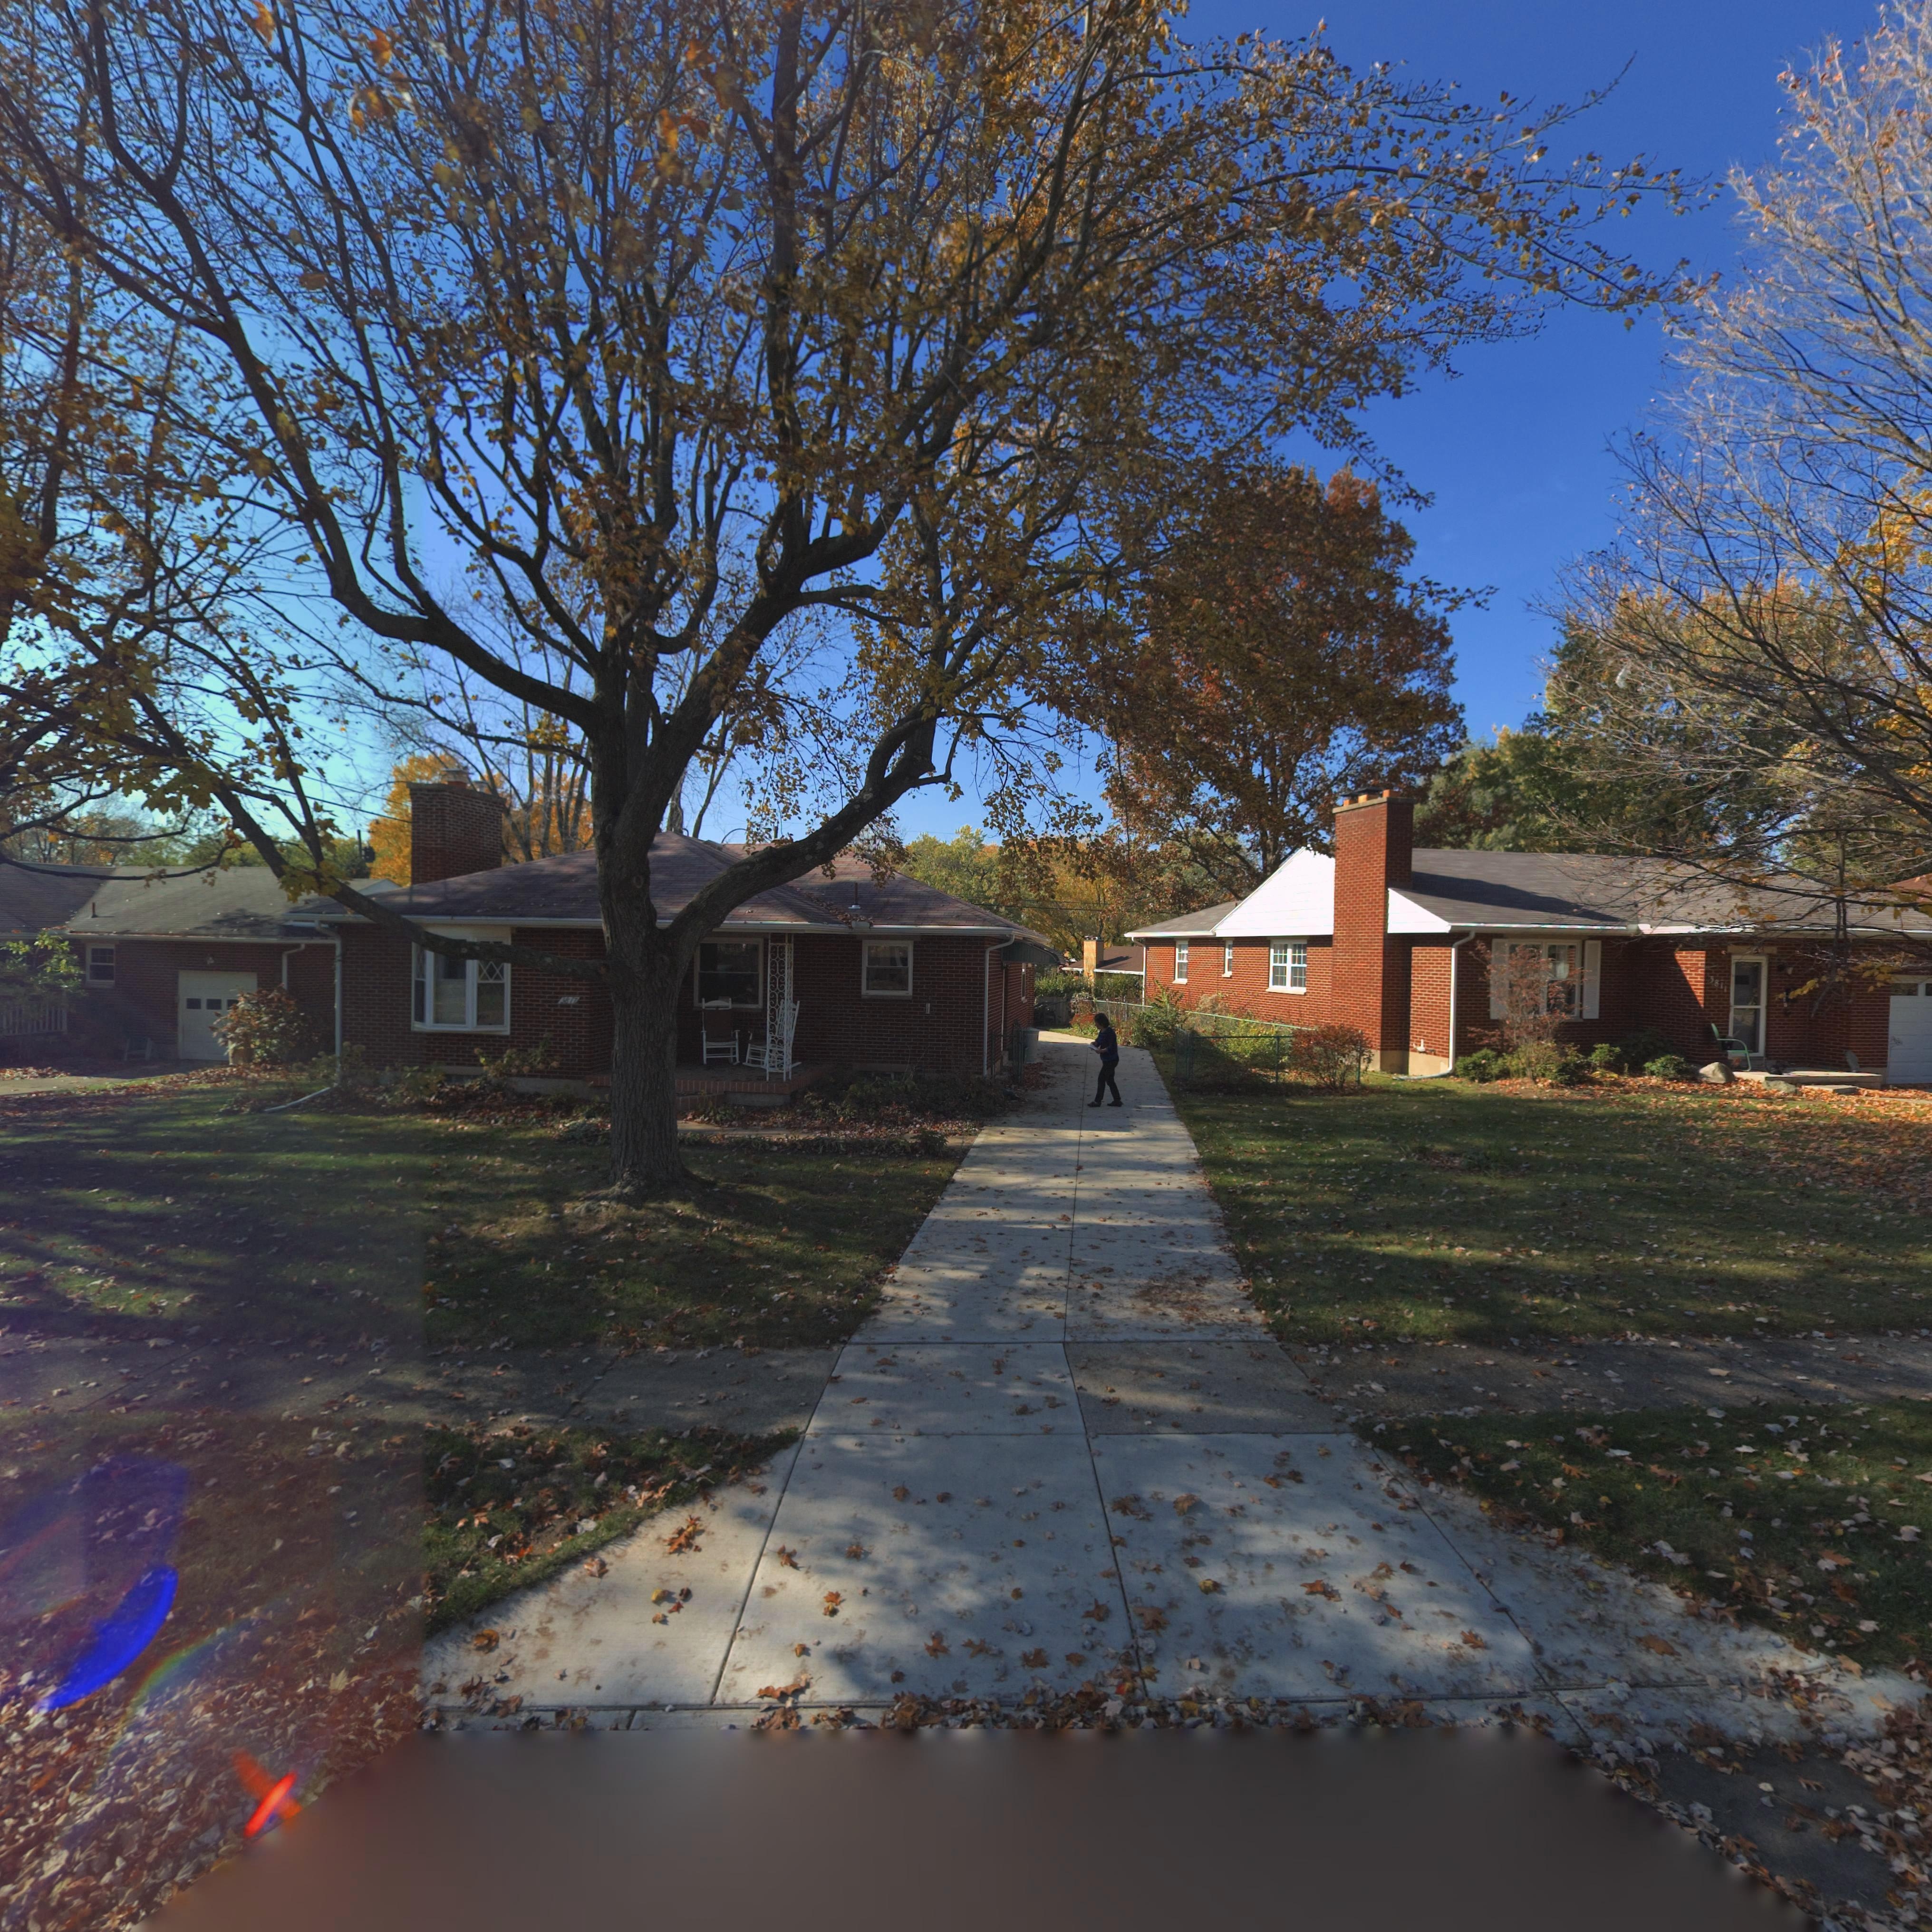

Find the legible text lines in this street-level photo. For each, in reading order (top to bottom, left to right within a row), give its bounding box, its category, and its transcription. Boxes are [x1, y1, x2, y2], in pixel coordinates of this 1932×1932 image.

[1708, 975, 1729, 994] StreetNumber: 3811
[560, 996, 579, 1005] StreetNumber: 3817